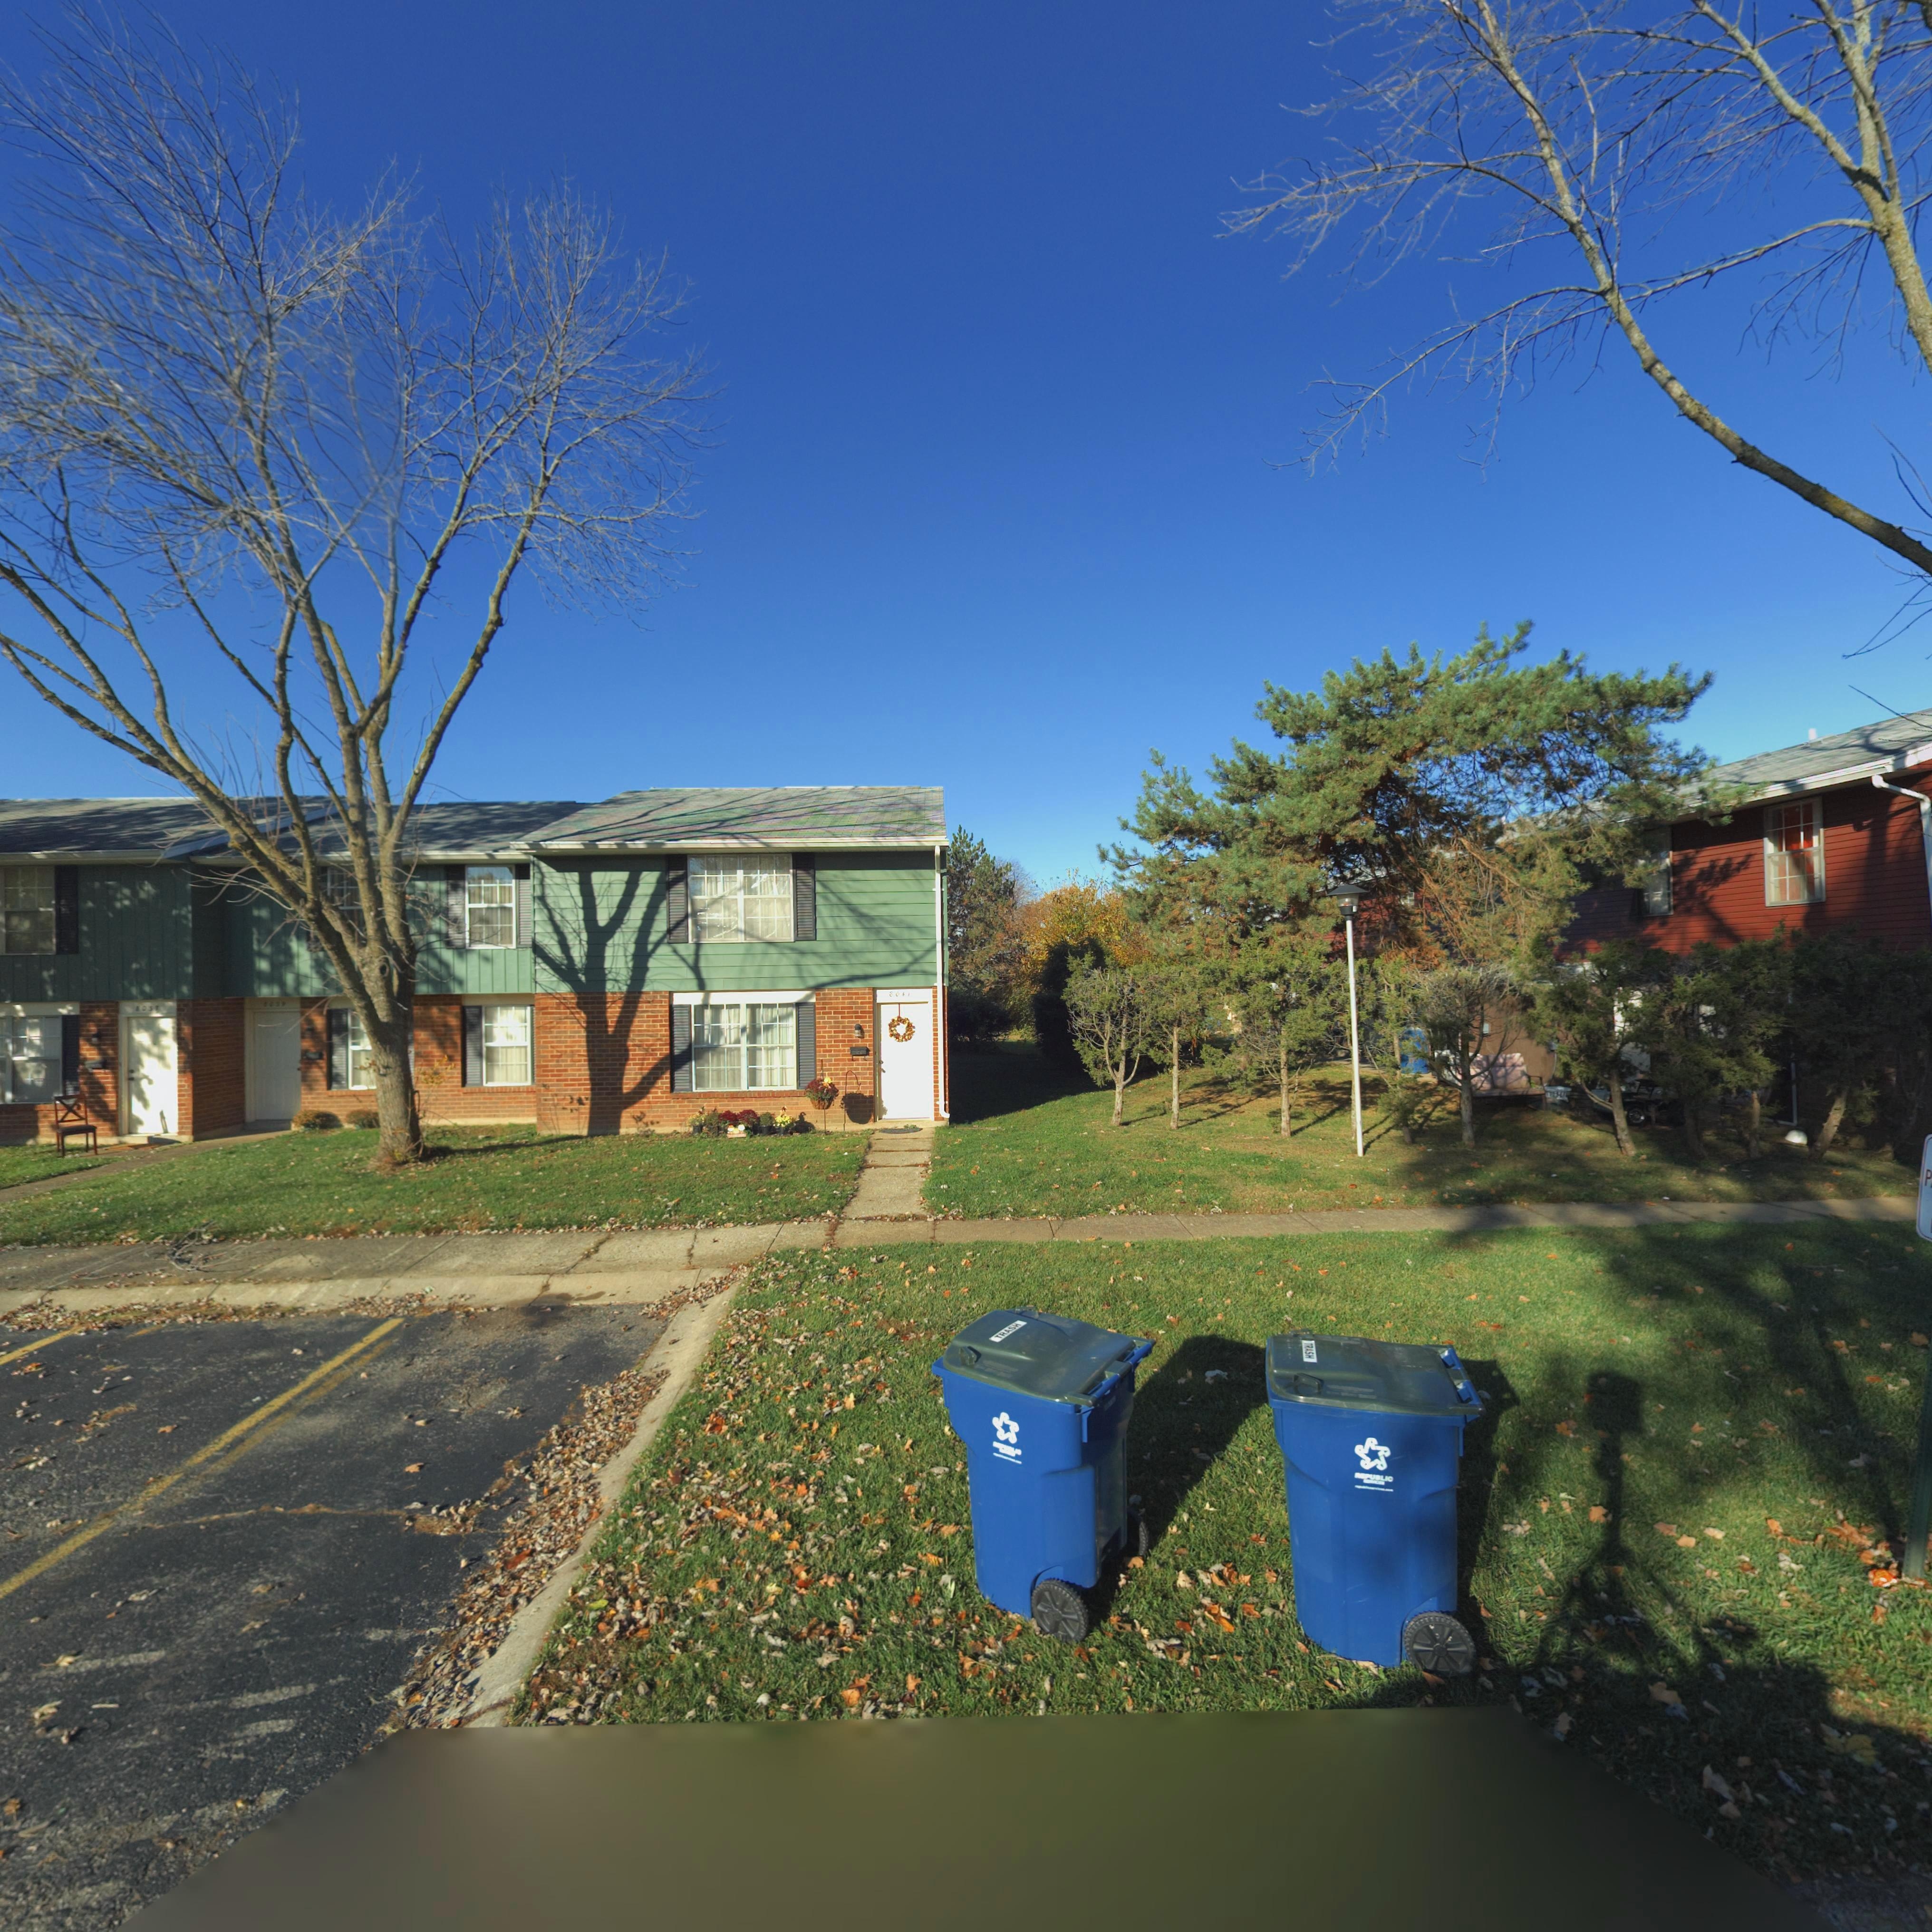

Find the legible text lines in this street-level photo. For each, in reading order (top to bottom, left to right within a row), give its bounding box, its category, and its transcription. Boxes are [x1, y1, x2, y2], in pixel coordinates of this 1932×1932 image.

[889, 990, 911, 997] StreetNumber: 8041
[263, 1000, 286, 1007] StreetNumber: 8039
[135, 1004, 160, 1012] StreetNumber: 8037